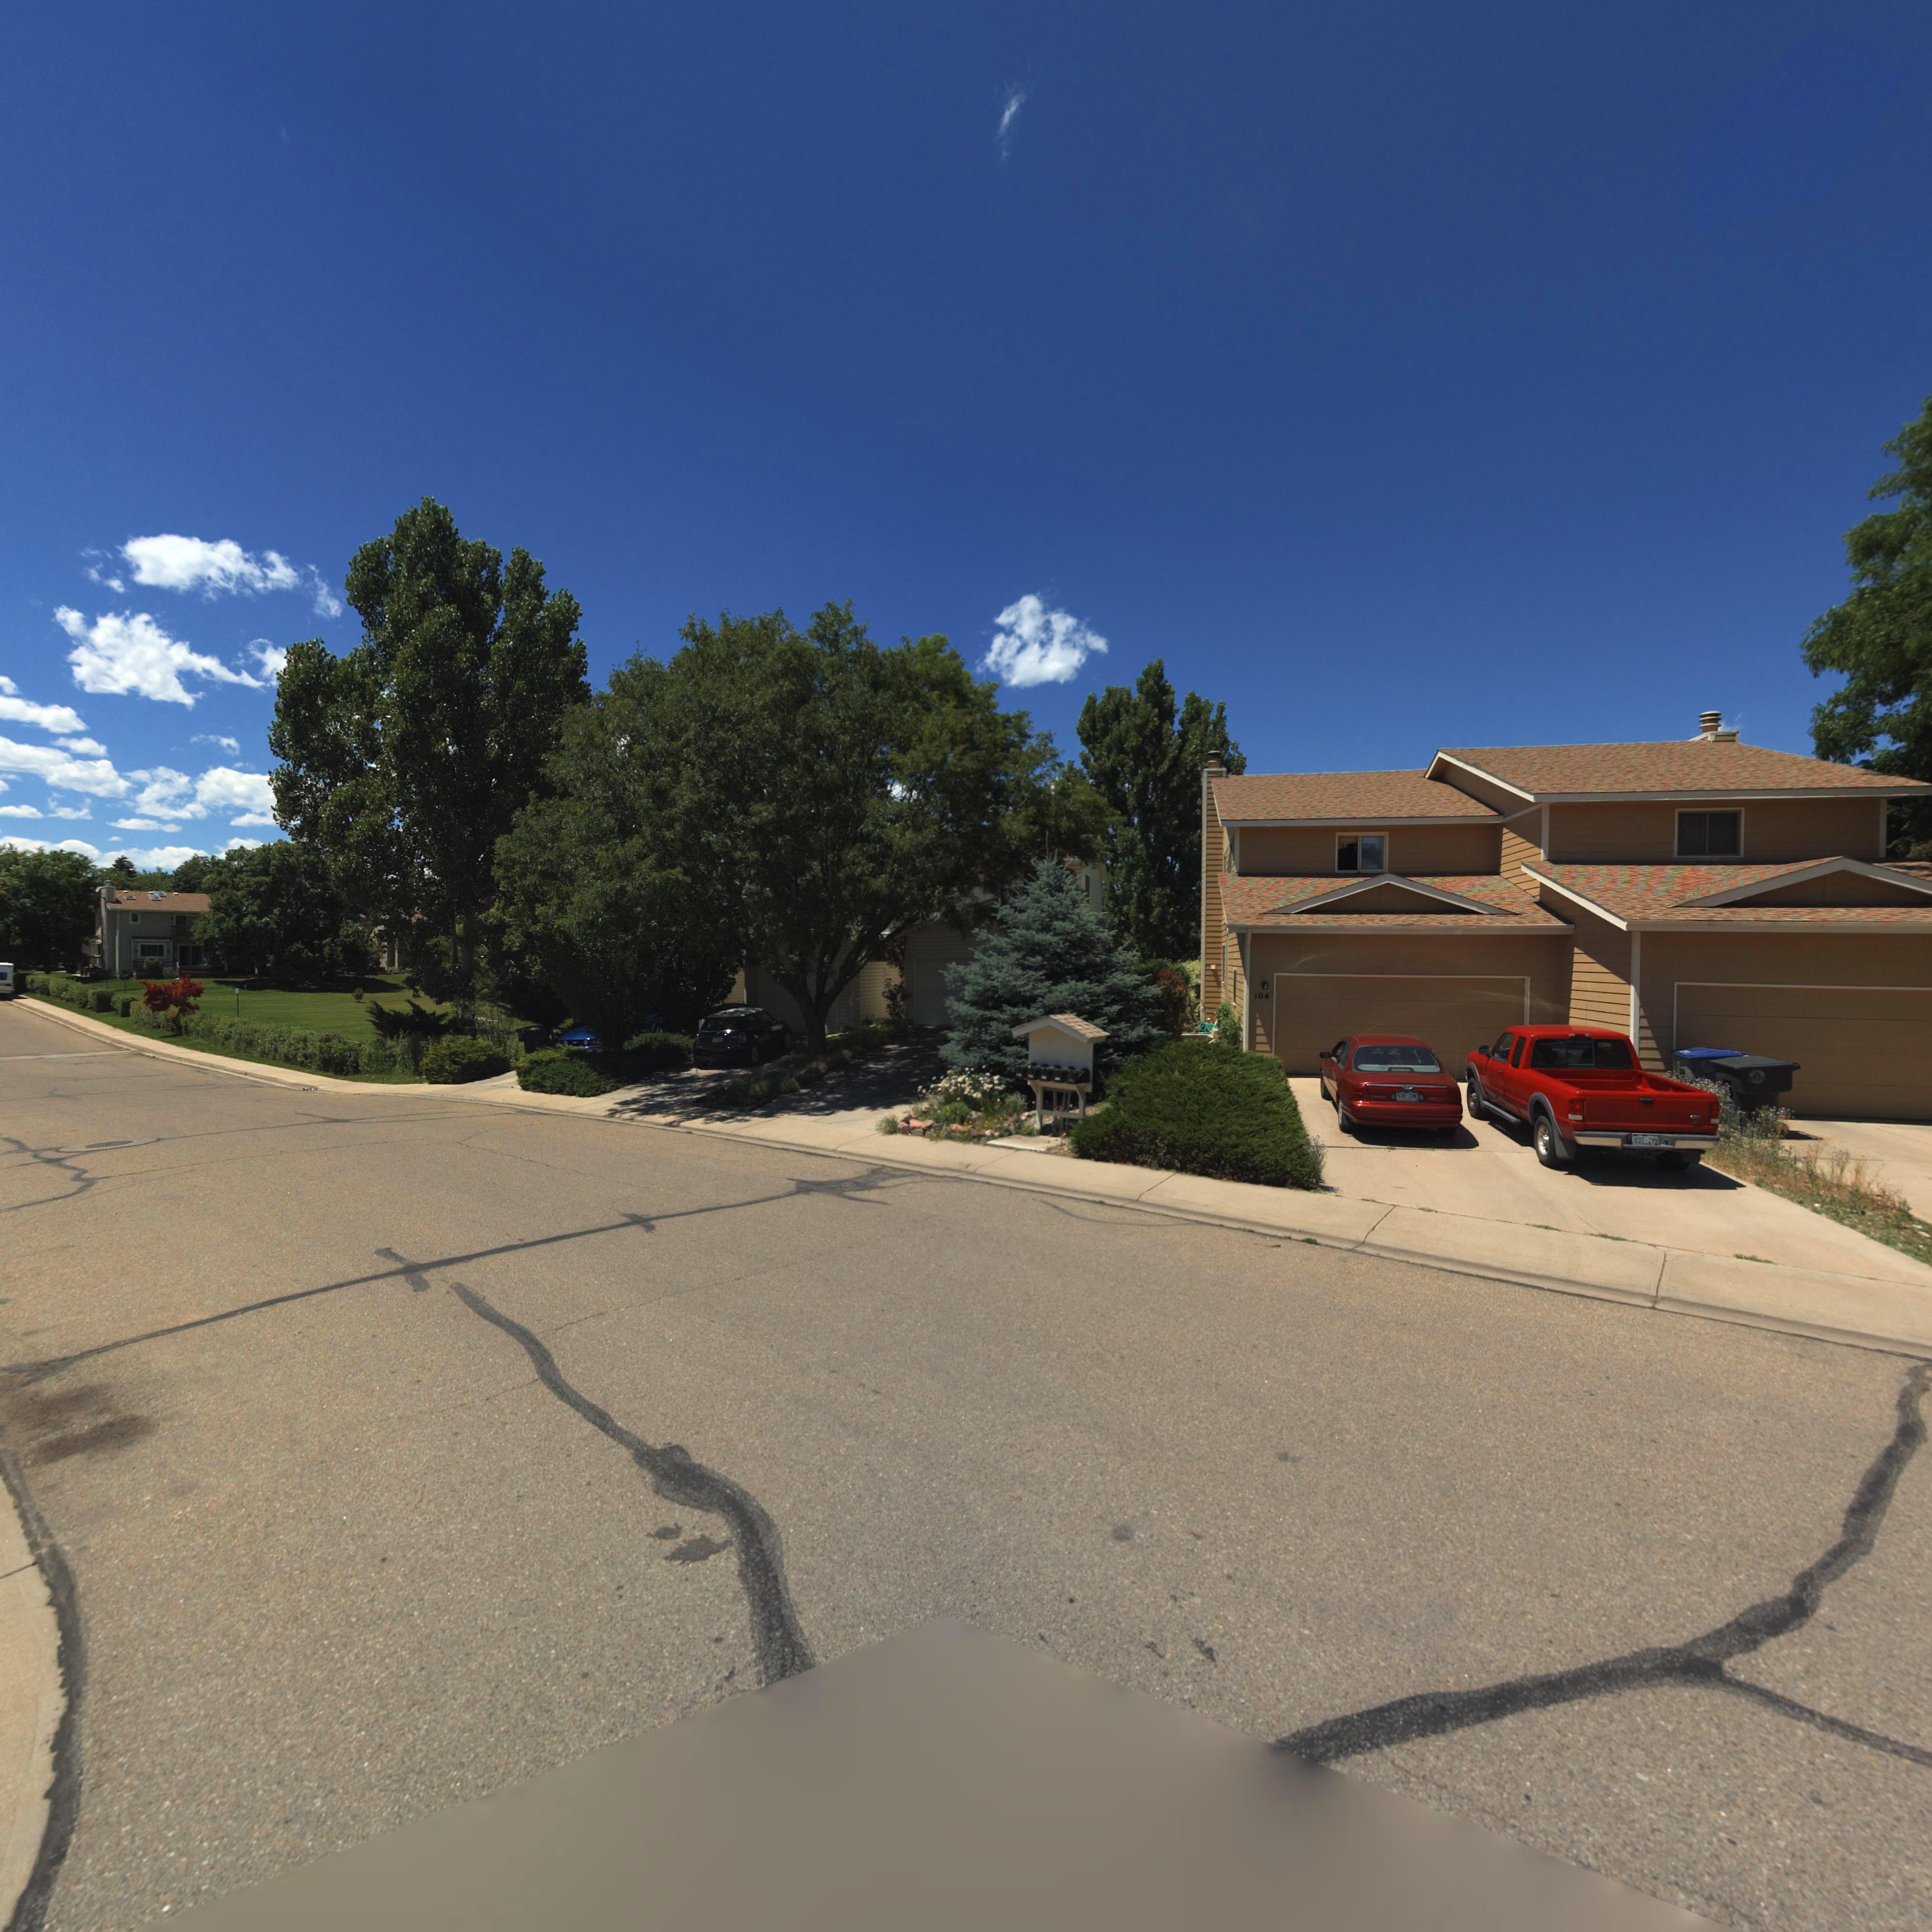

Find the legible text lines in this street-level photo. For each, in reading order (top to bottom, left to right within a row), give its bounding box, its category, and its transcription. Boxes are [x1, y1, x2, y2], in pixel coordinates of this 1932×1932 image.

[1254, 992, 1270, 1000] StreetNumber: 104